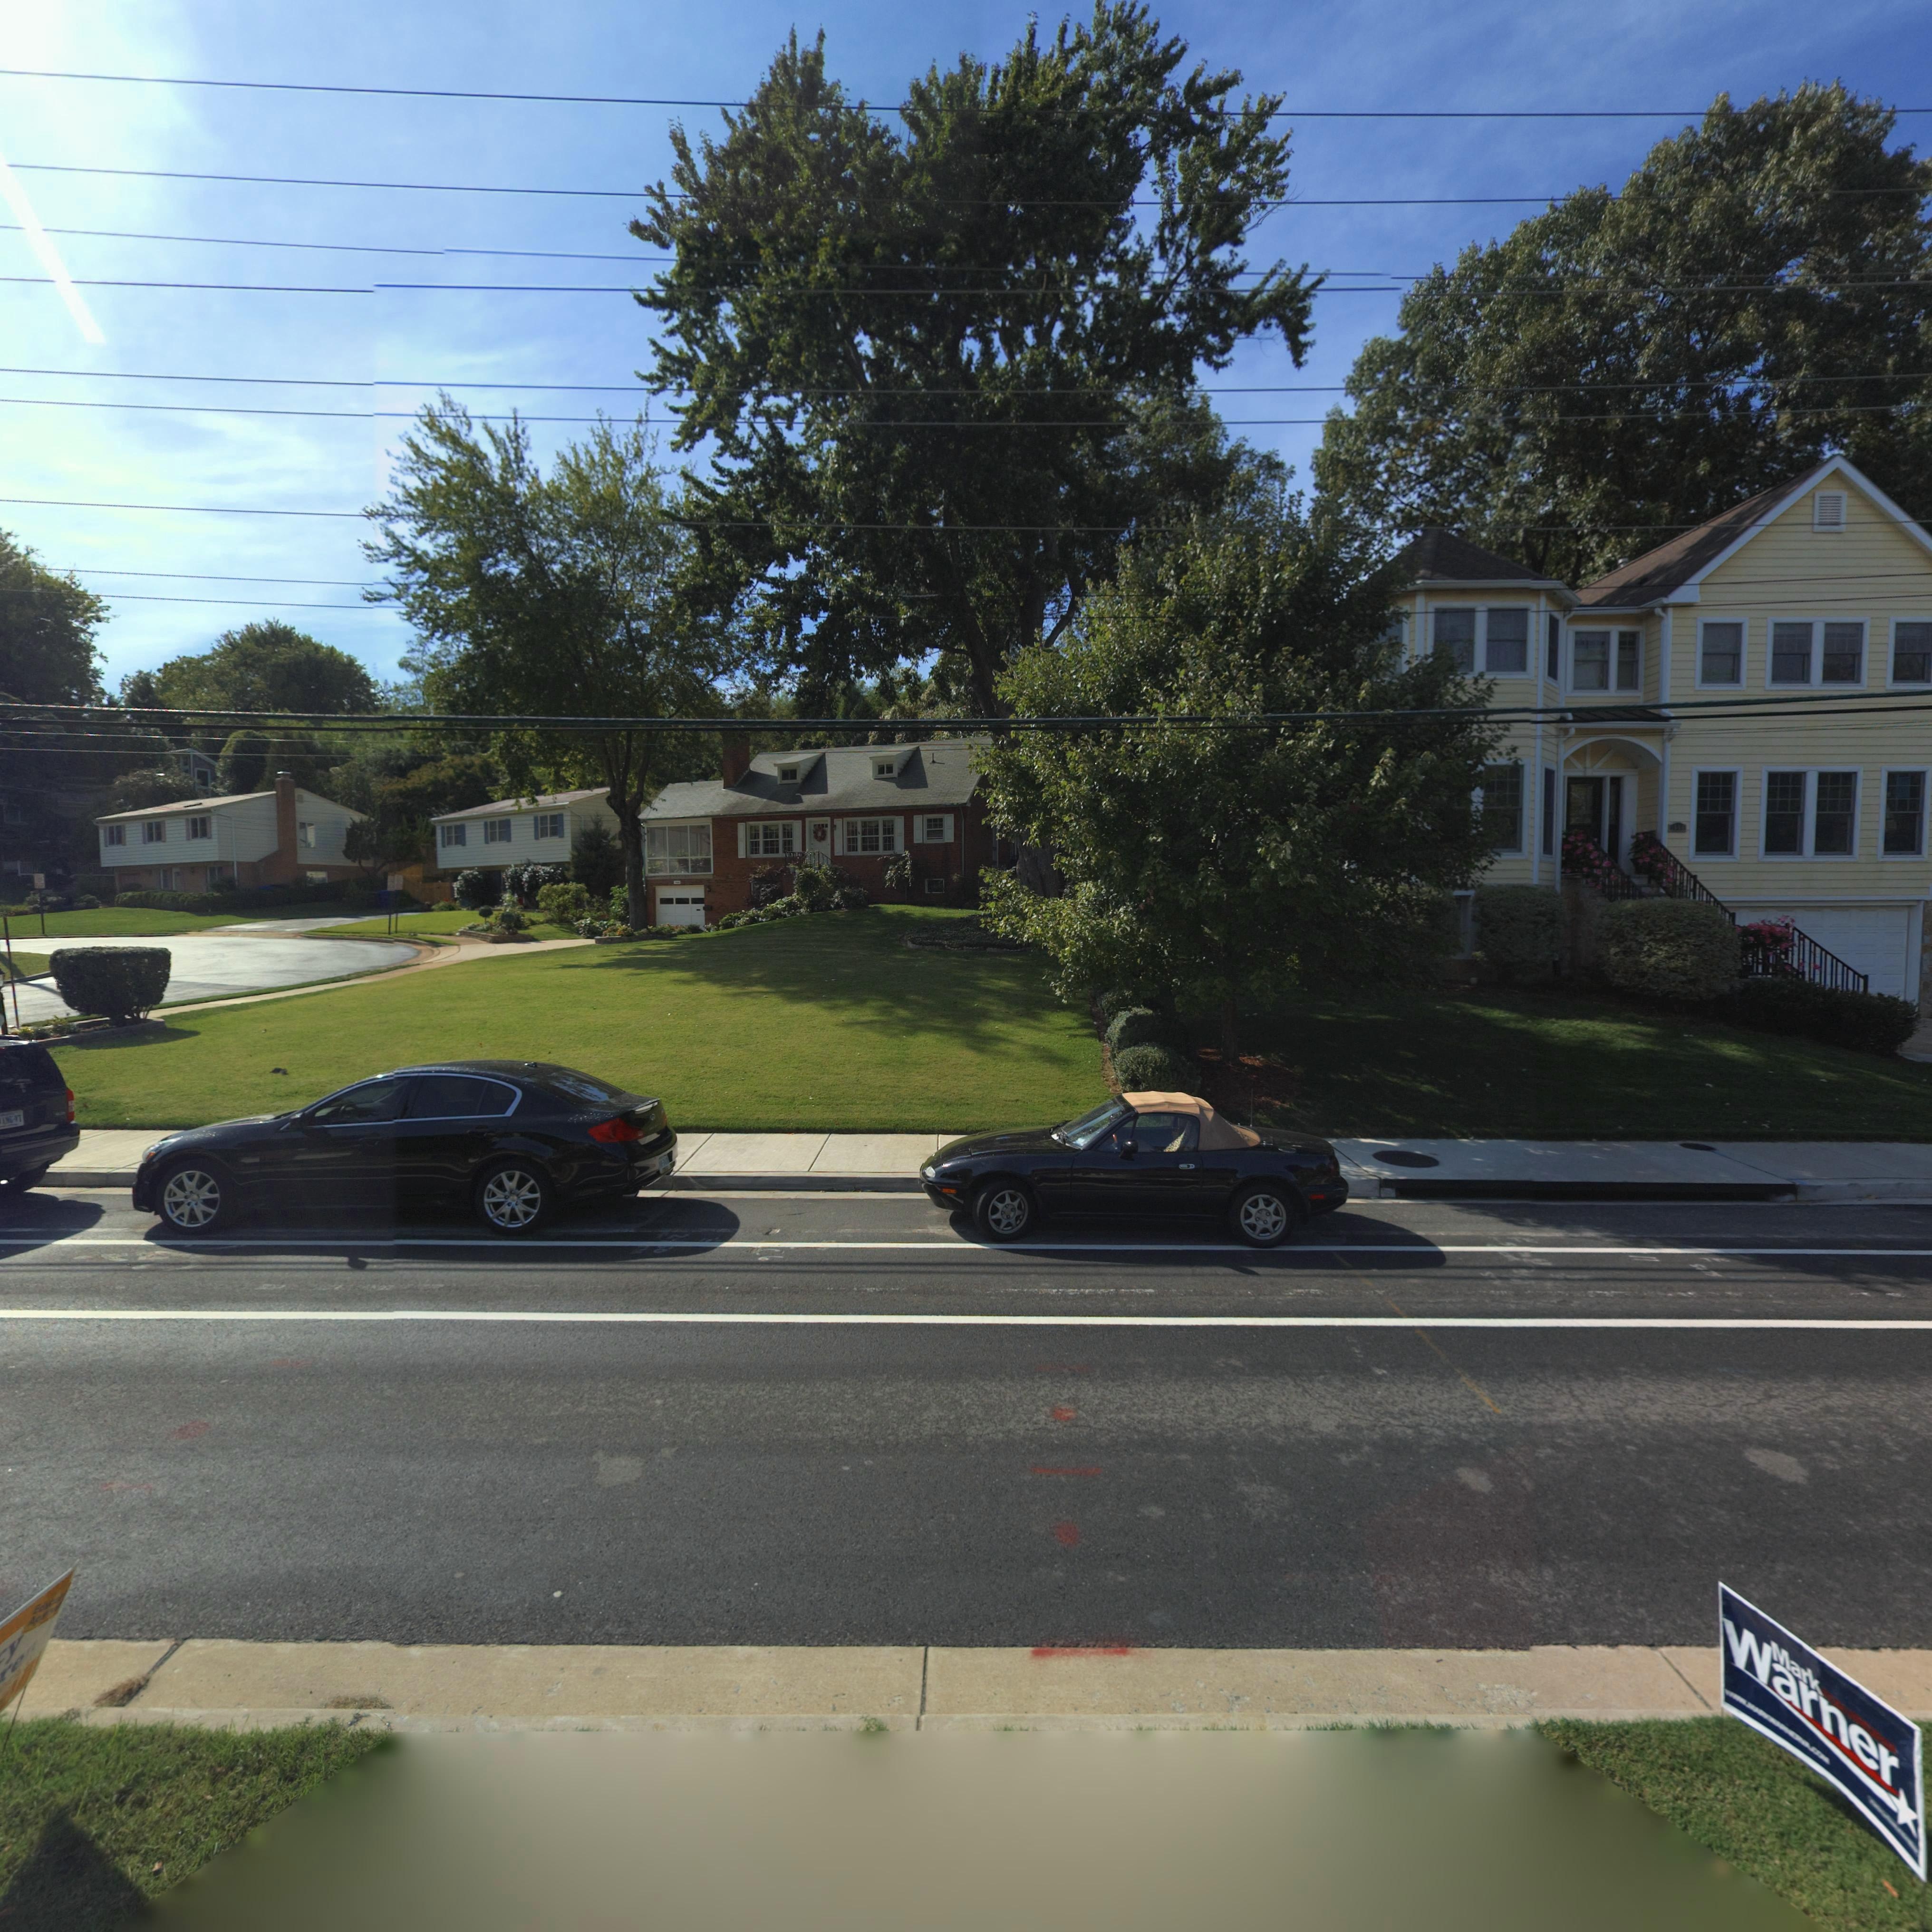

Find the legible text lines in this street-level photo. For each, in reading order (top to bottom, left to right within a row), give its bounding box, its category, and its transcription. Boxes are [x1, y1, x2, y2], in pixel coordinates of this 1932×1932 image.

[2, 1630, 27, 1668] None: y
[1768, 1635, 1827, 1699] None: Mark
[1719, 1613, 1903, 1790] None: Warner